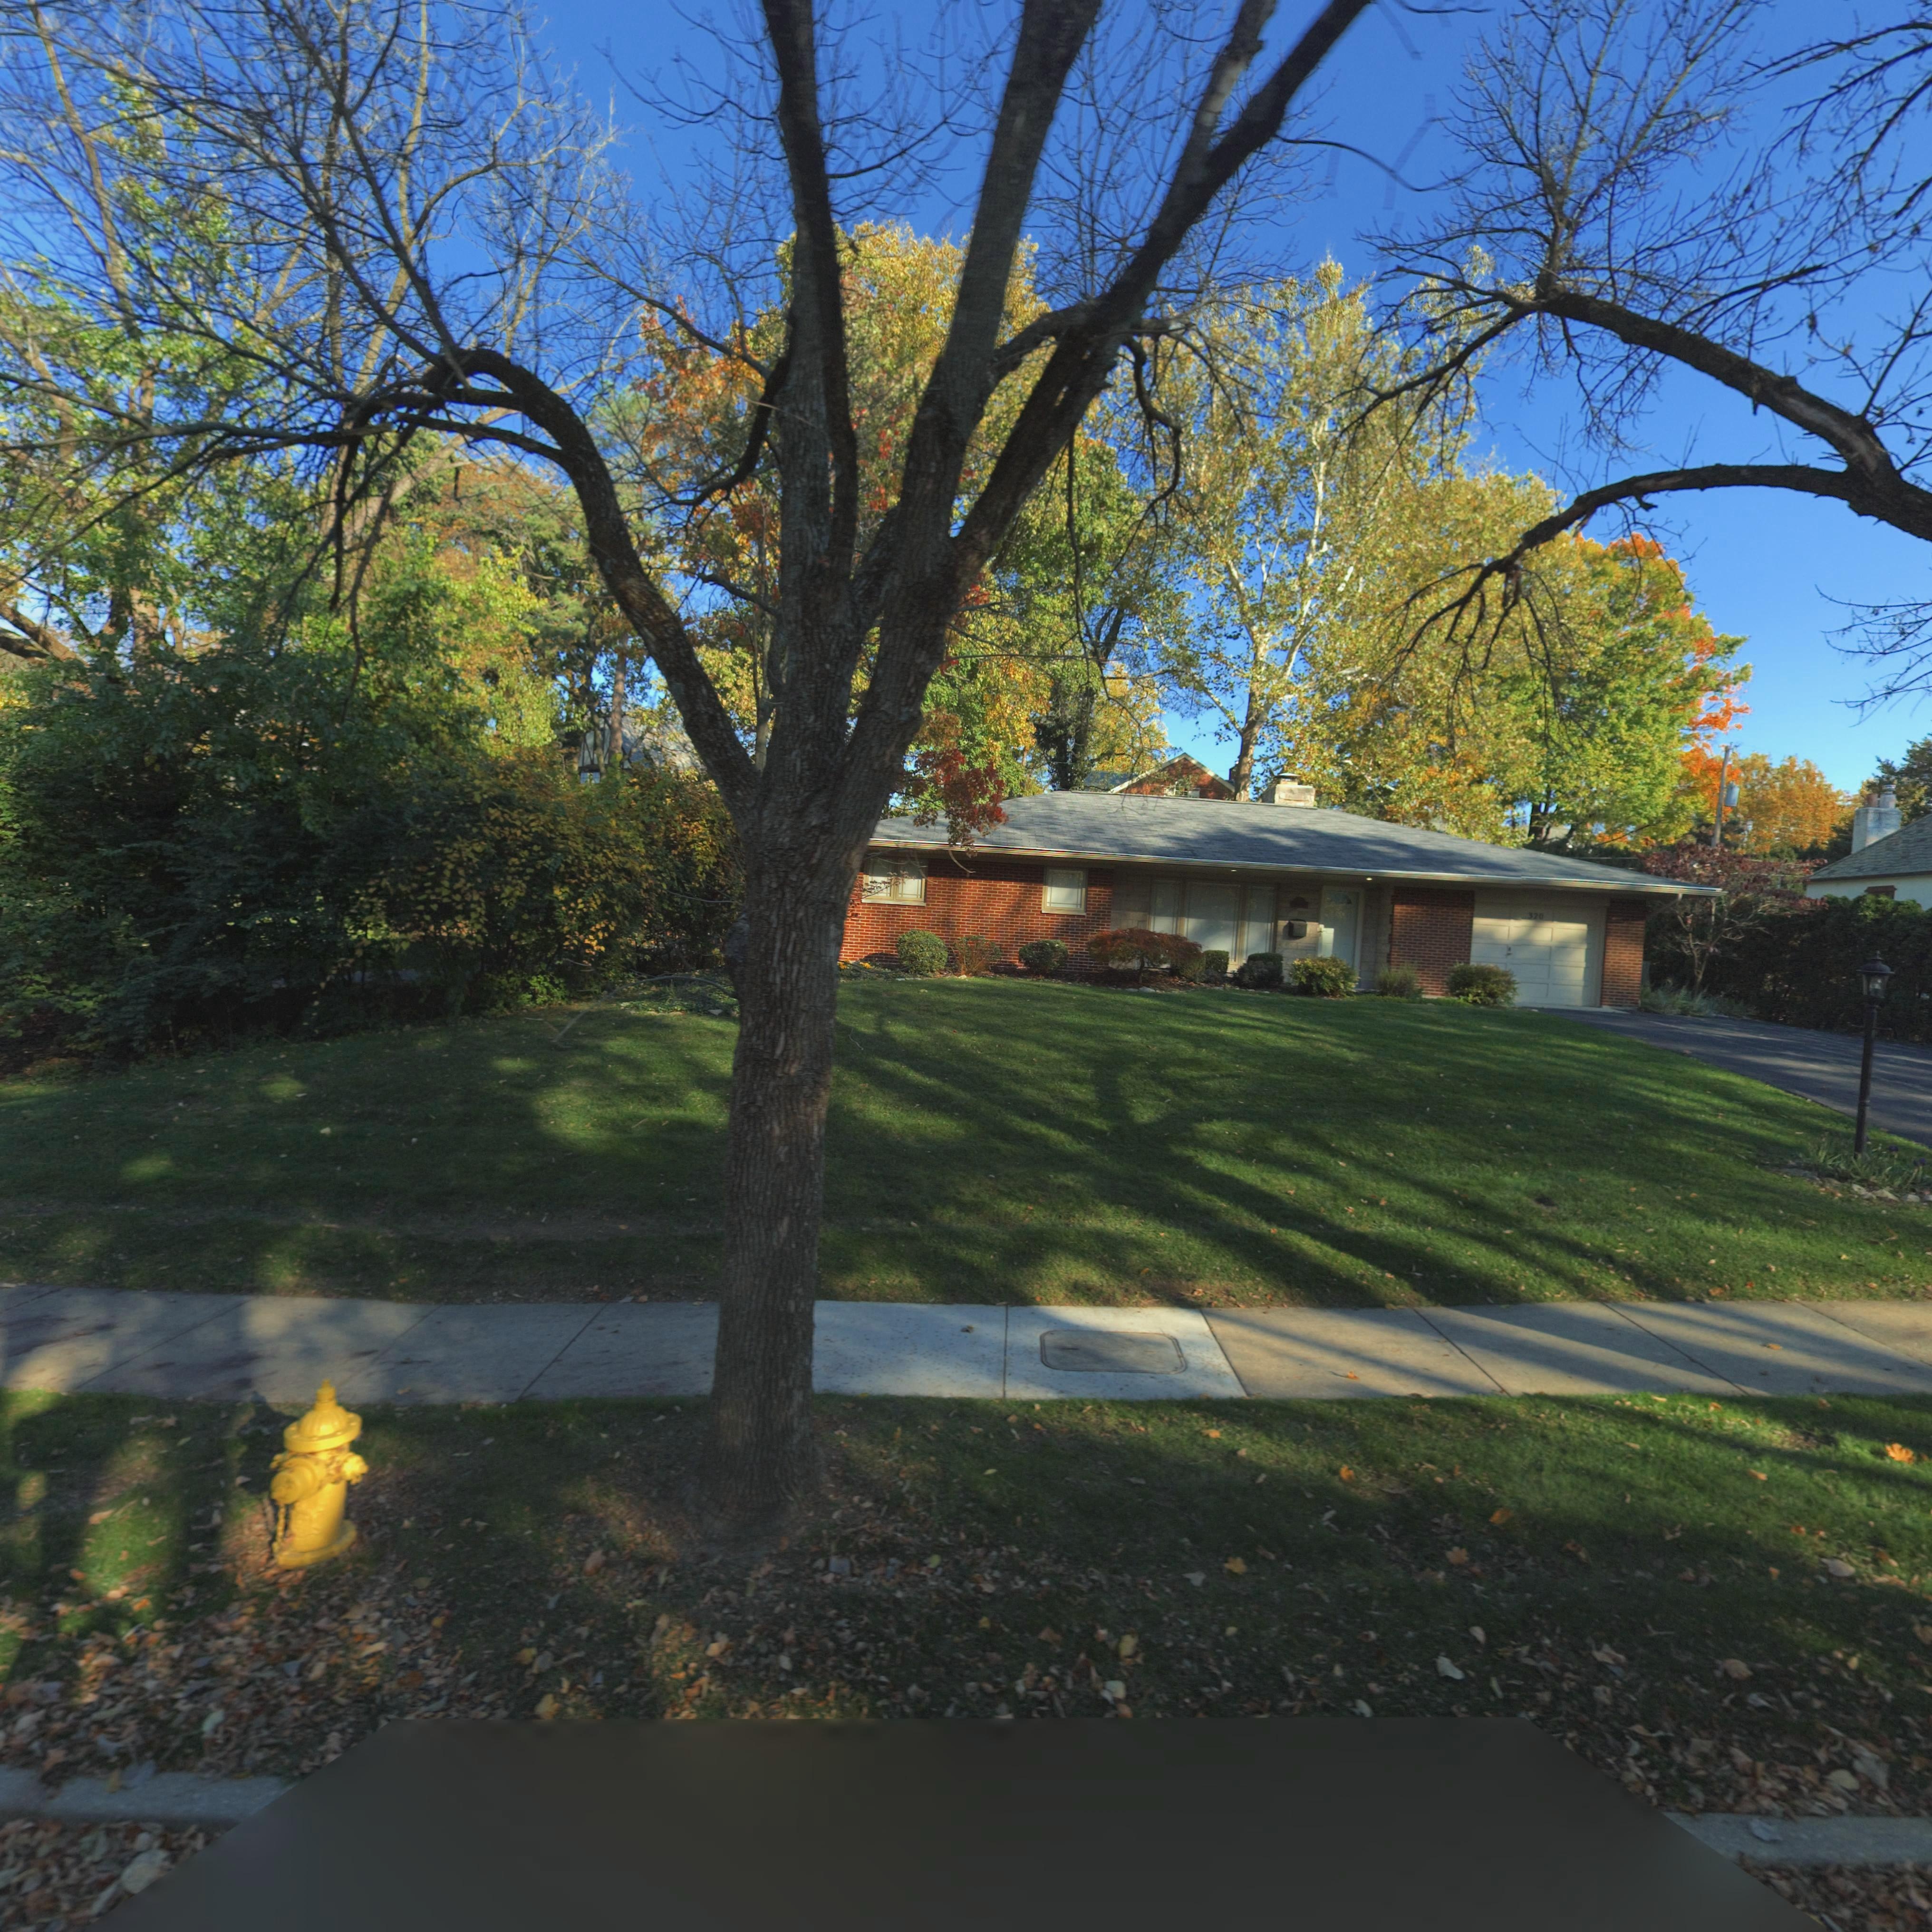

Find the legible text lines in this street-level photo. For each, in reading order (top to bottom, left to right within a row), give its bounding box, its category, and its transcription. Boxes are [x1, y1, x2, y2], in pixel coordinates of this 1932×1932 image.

[1527, 911, 1545, 920] StreetNumber: 320